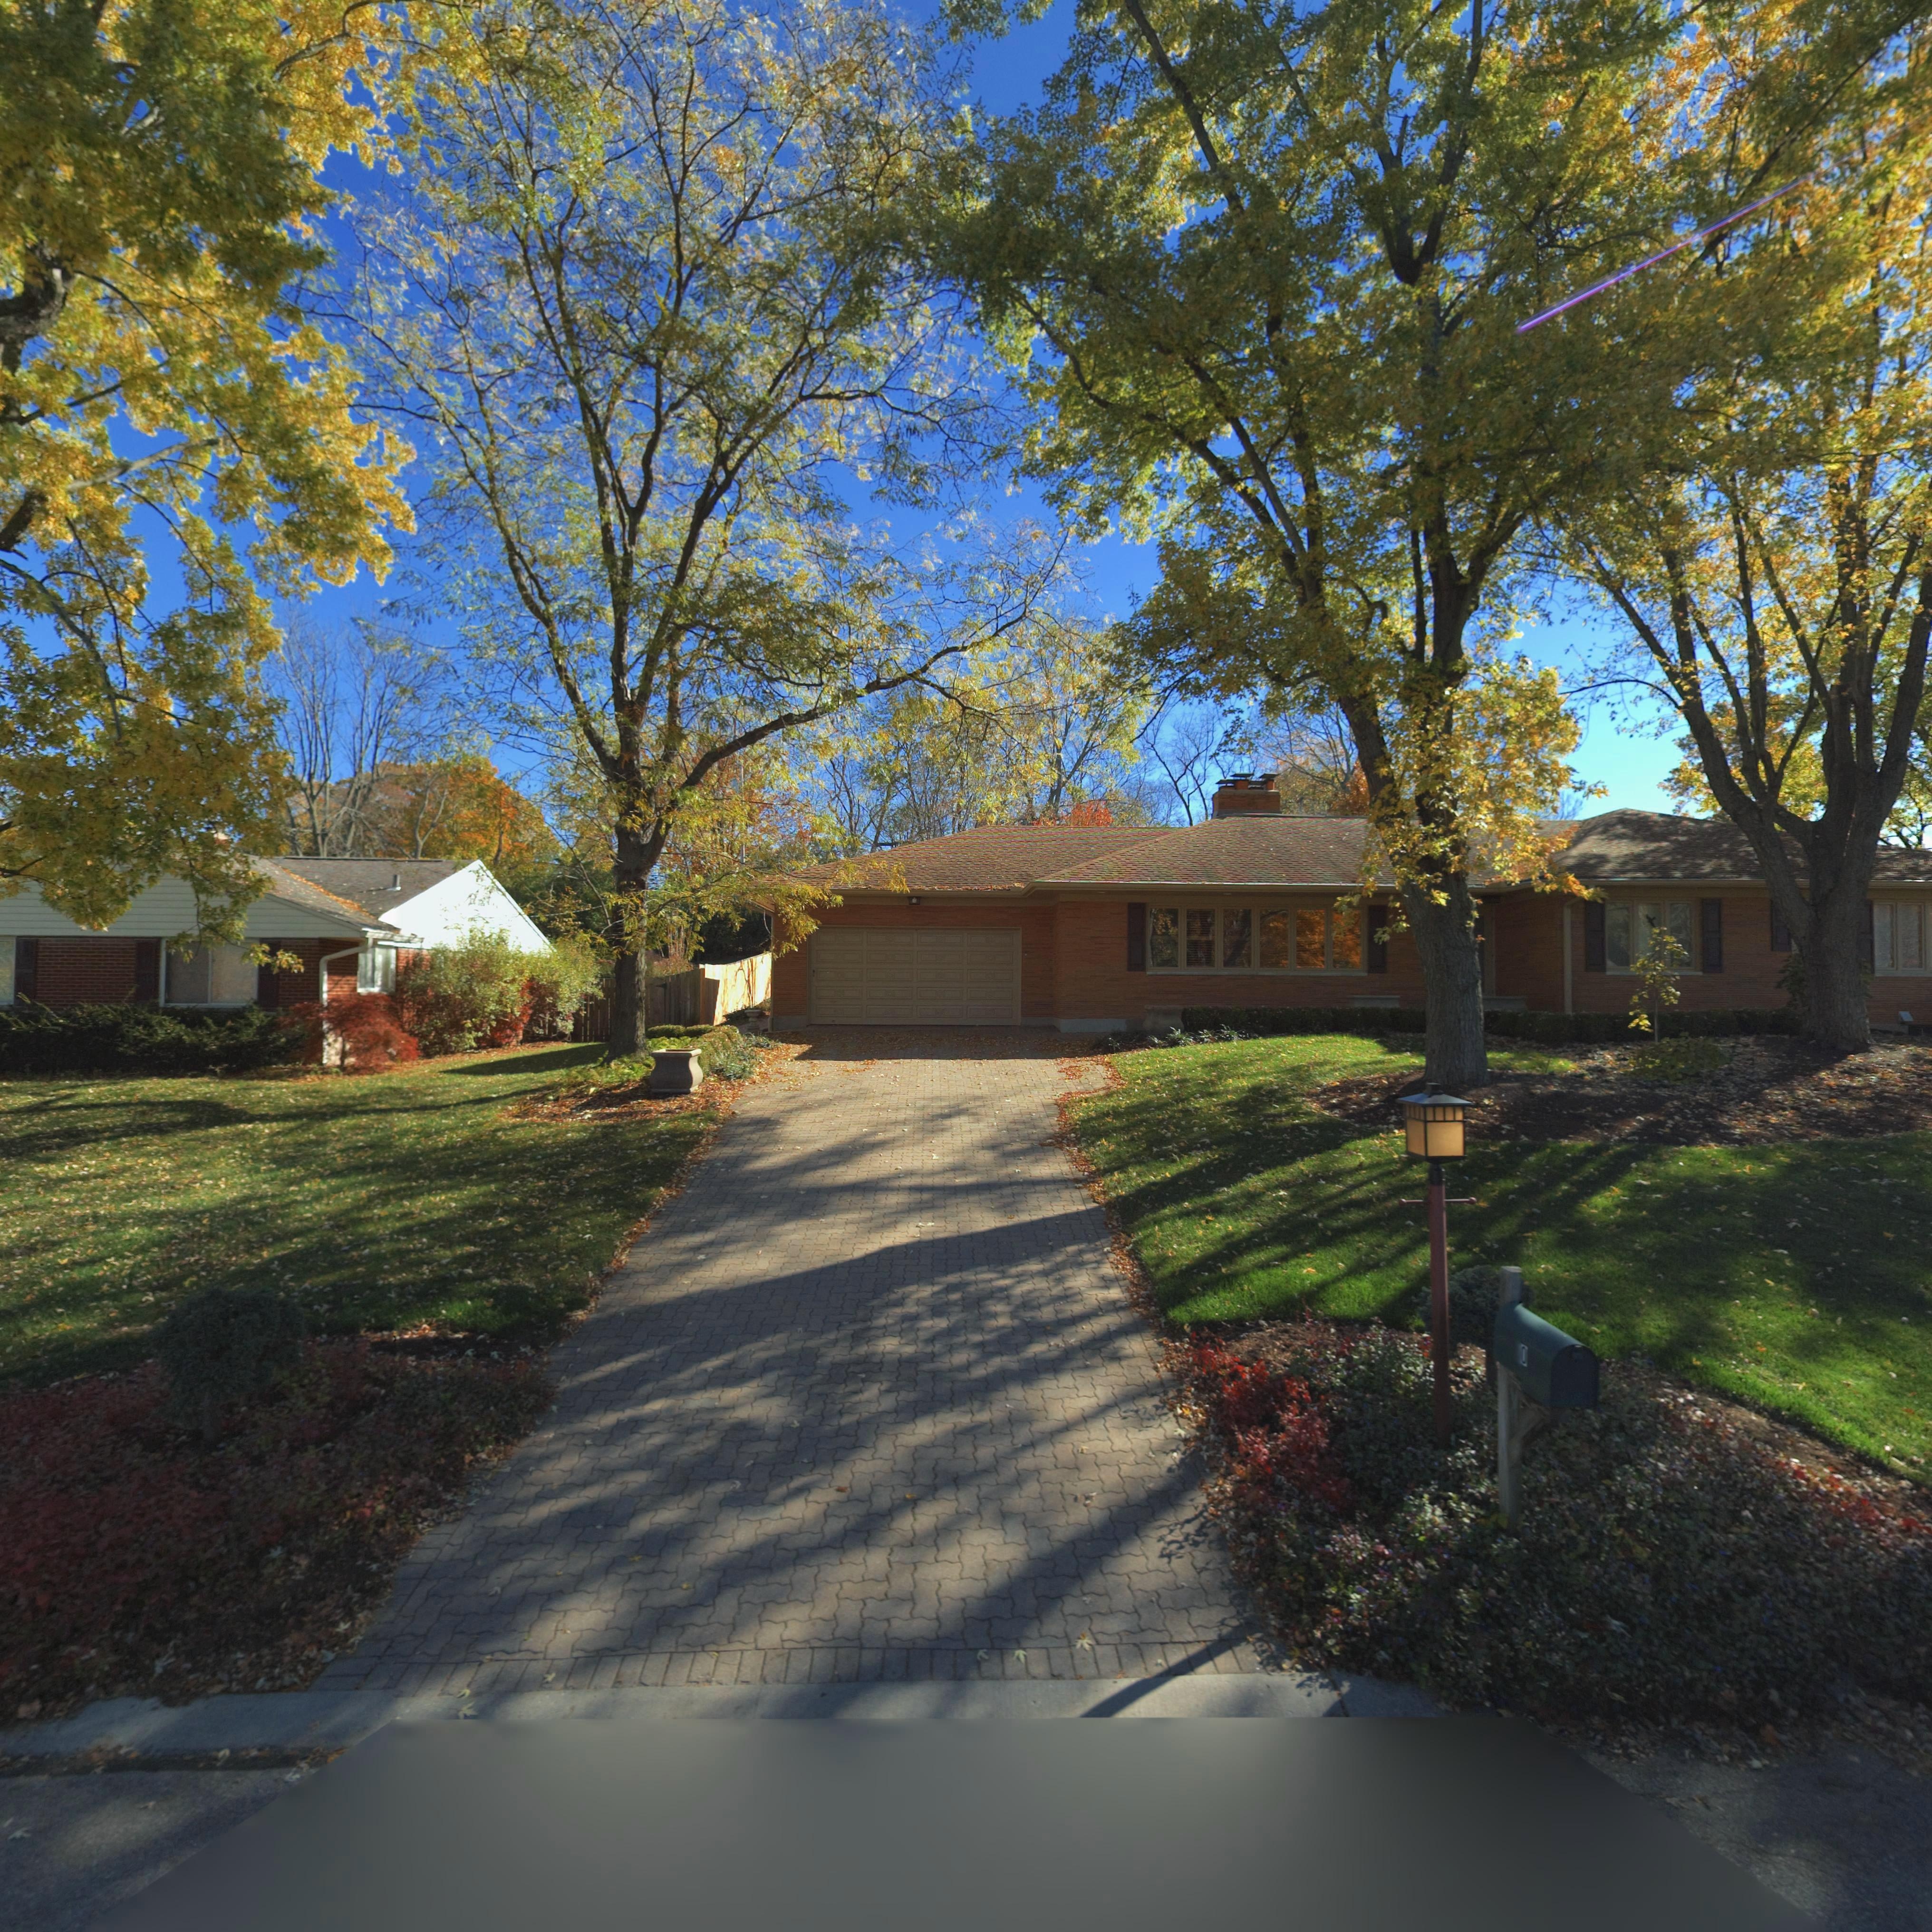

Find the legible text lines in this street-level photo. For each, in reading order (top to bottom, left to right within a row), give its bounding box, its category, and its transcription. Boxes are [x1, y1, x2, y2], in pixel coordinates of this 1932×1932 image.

[1520, 1345, 1528, 1366] StreetNumber: 0